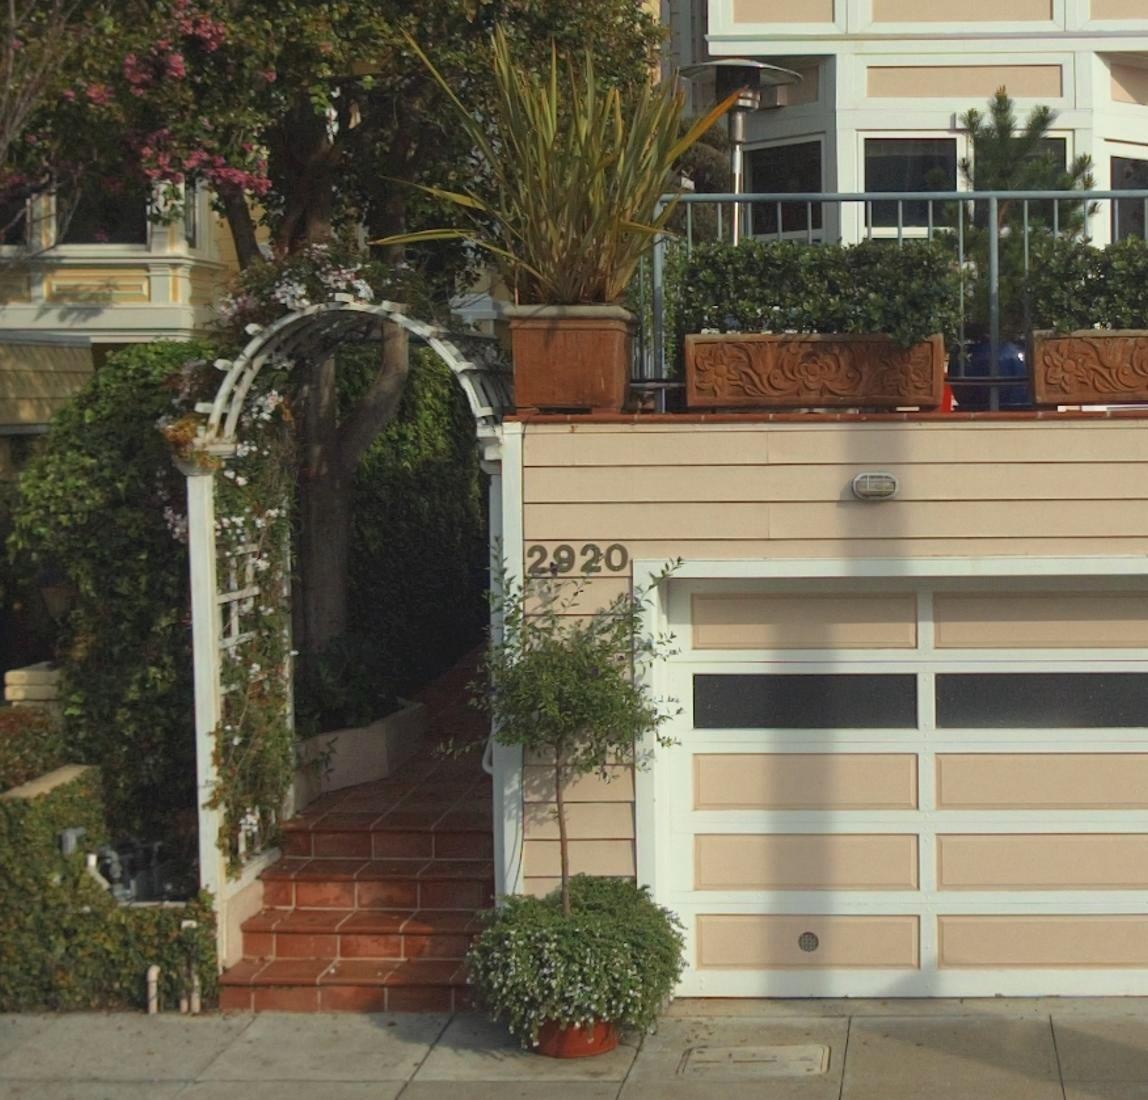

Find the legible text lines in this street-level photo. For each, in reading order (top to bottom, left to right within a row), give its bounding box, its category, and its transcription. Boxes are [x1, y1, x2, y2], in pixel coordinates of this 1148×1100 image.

[524, 541, 631, 576] StreetNumber: 2920